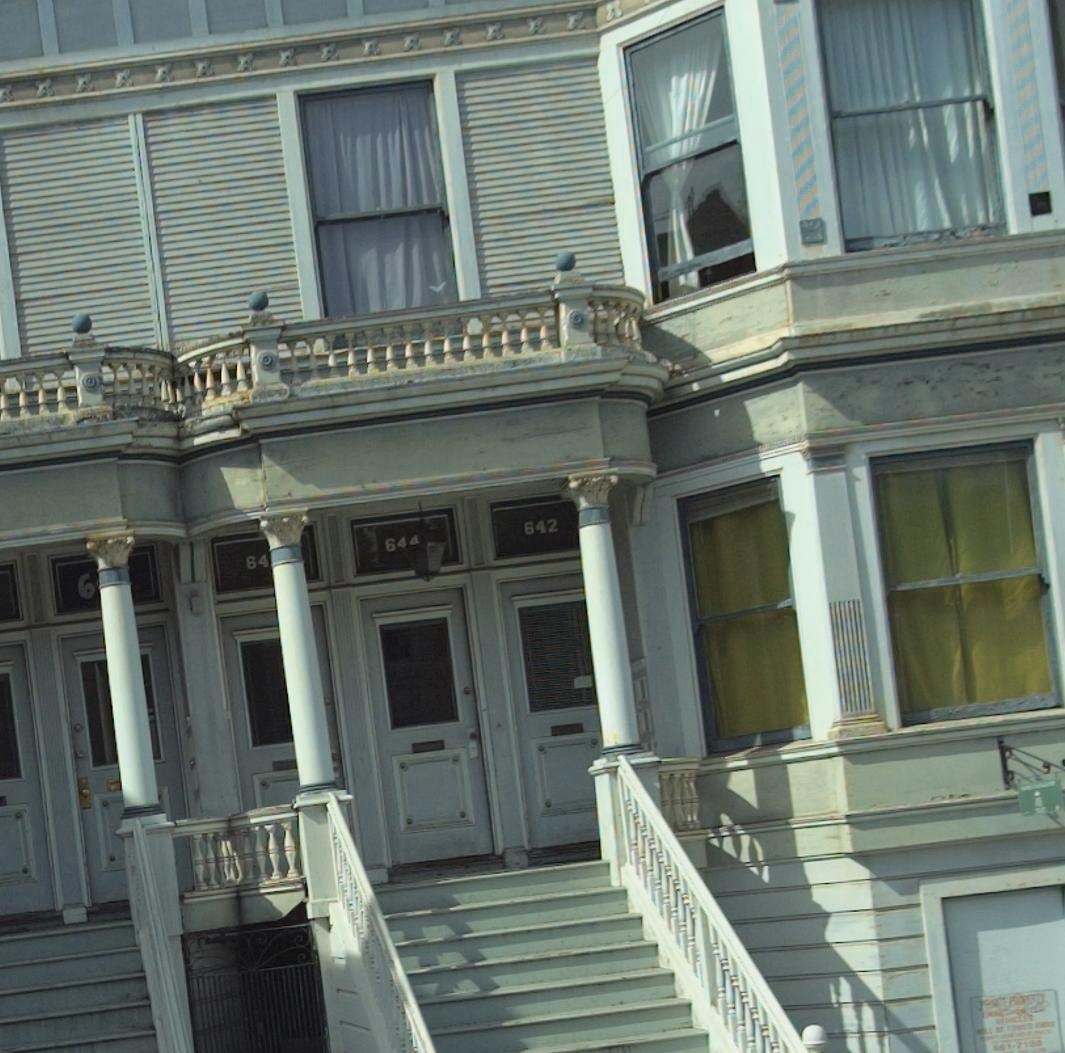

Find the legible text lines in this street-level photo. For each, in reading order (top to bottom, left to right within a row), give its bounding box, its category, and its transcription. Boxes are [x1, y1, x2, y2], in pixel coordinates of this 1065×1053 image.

[519, 516, 562, 538] StreetNumber: 642
[383, 533, 422, 555] StreetNumber: 64*
[244, 551, 285, 572] StreetNumber: 64*
[74, 564, 135, 603] StreetNumber: 6**